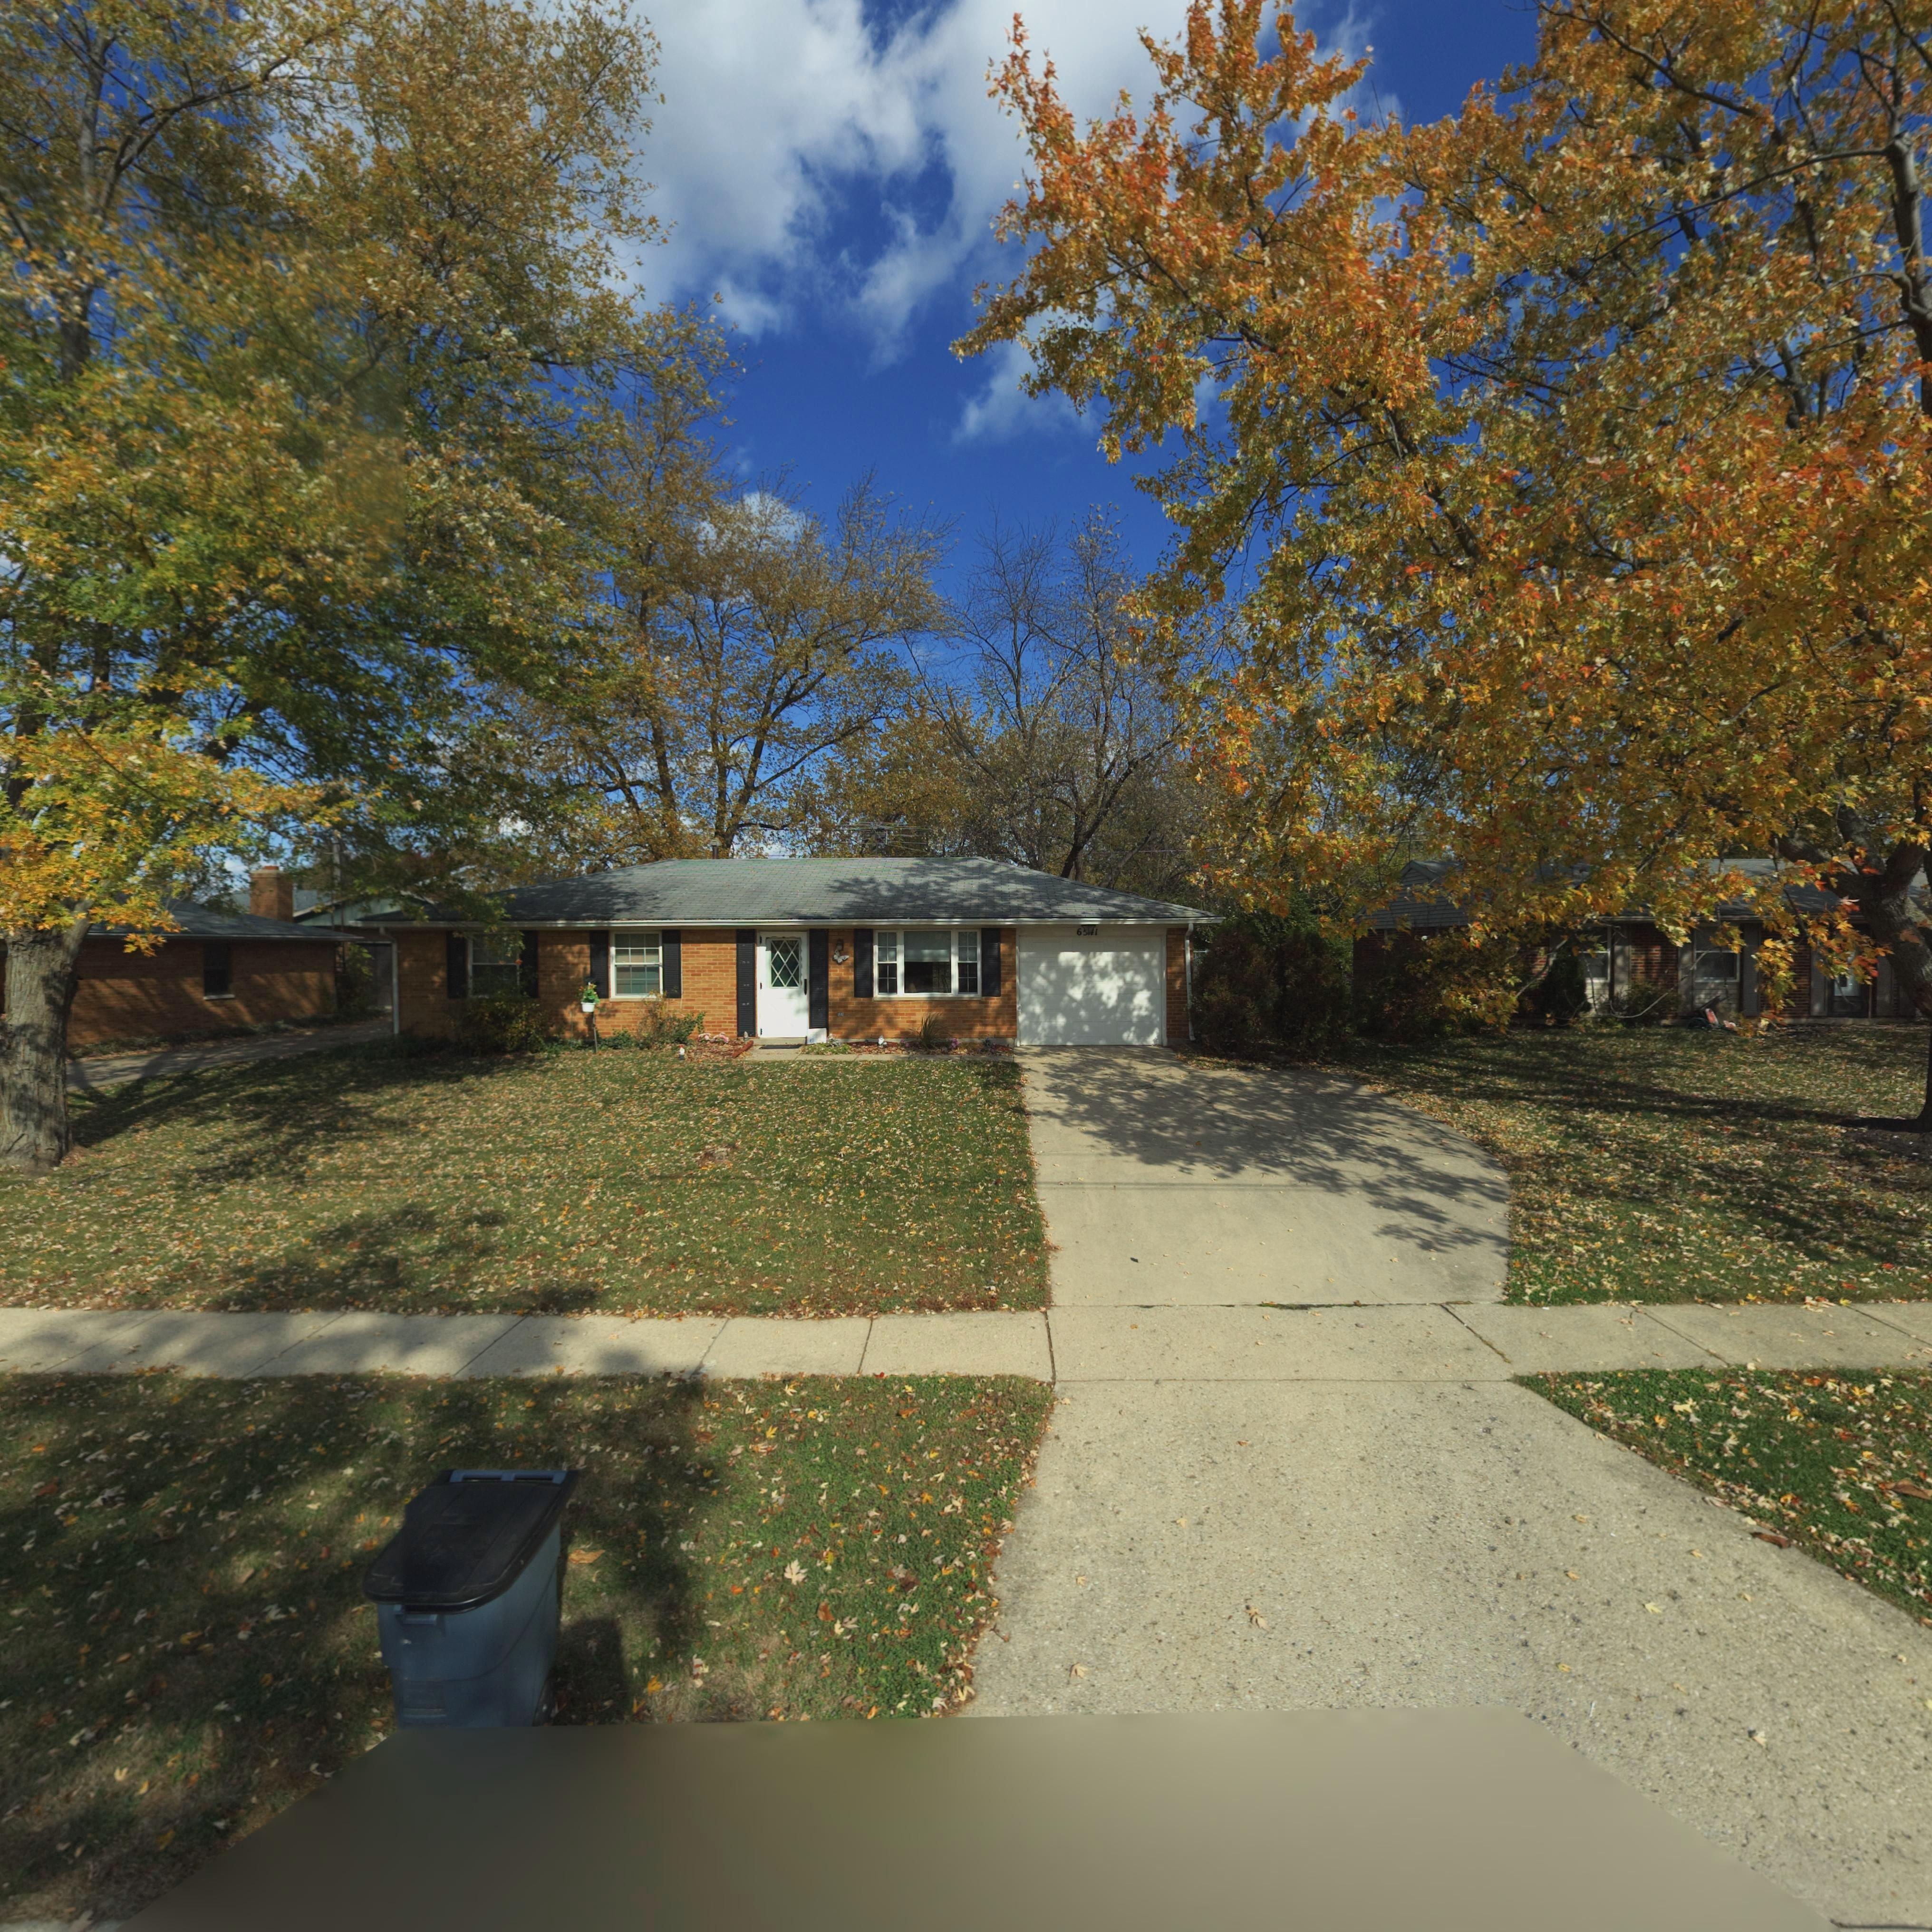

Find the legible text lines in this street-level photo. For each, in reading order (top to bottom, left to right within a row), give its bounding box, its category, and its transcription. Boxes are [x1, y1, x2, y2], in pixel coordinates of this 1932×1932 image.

[1076, 927, 1098, 936] StreetNumber: 6**1